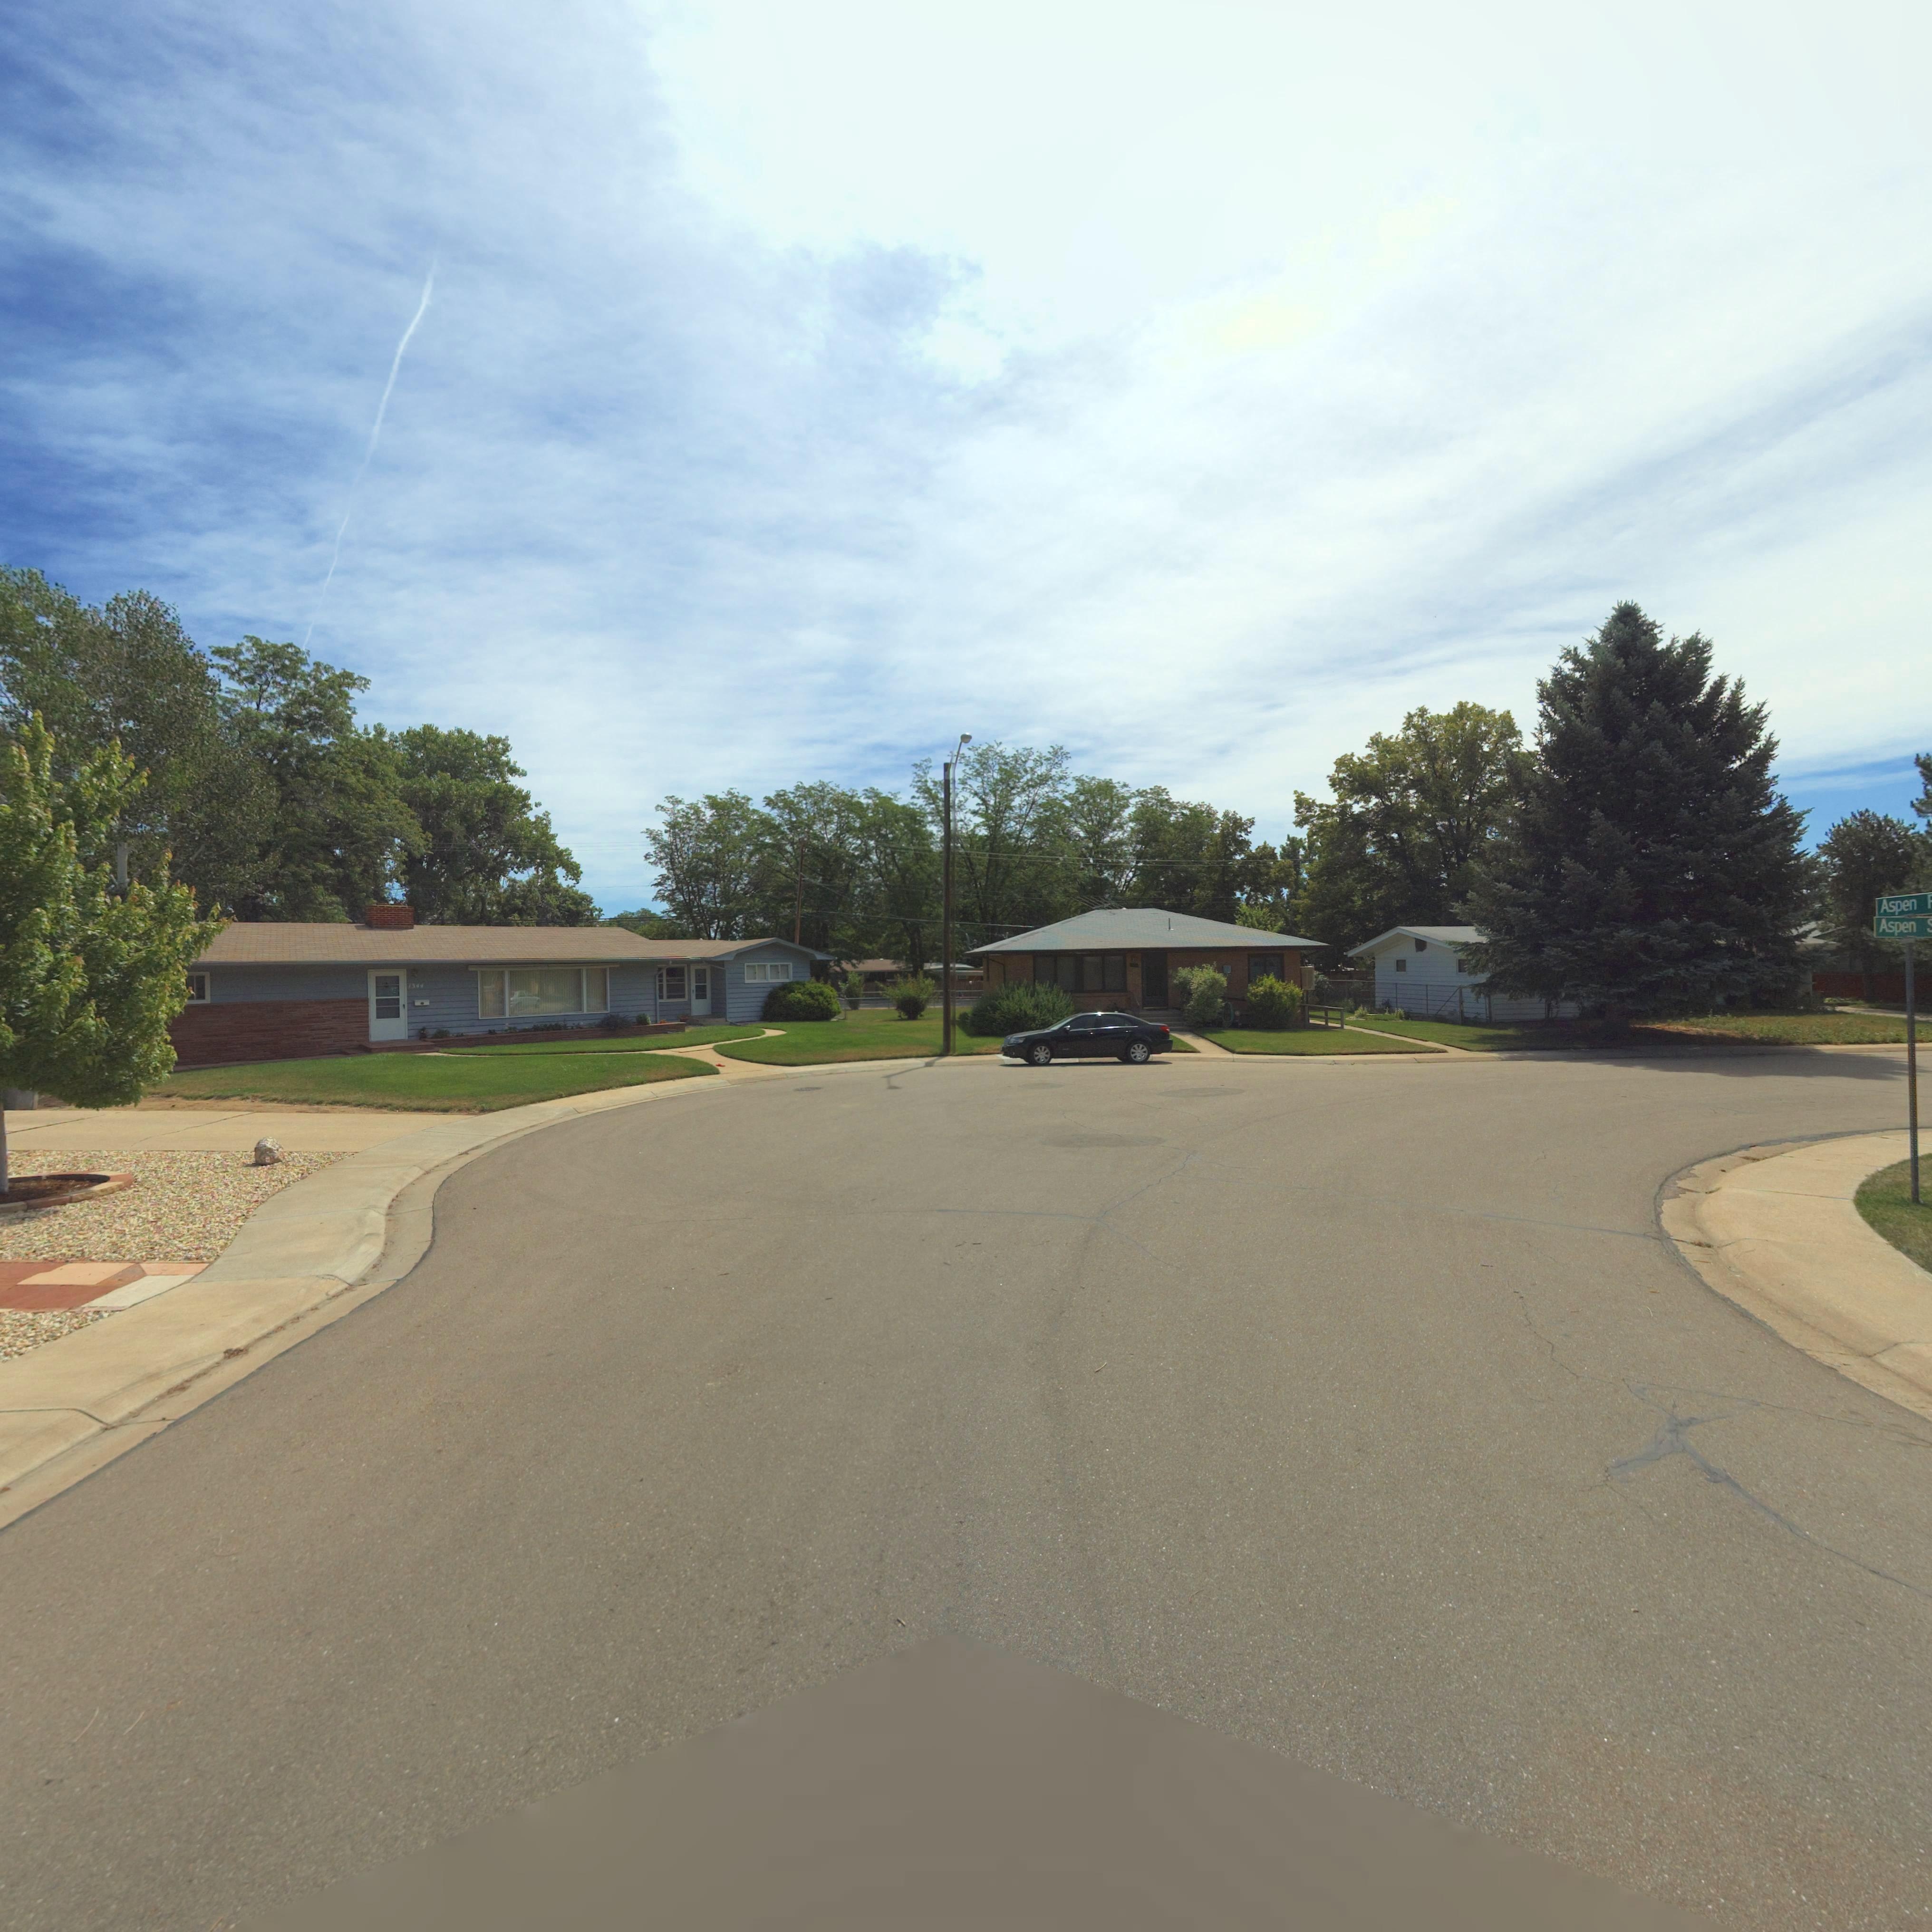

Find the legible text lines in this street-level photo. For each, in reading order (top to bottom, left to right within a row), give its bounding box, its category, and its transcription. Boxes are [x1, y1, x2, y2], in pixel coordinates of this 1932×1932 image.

[1880, 894, 1931, 916] StreetName: Aspen *
[1878, 918, 1931, 936] StreetName: Aspen *
[408, 983, 424, 989] StreetNumber: 1344